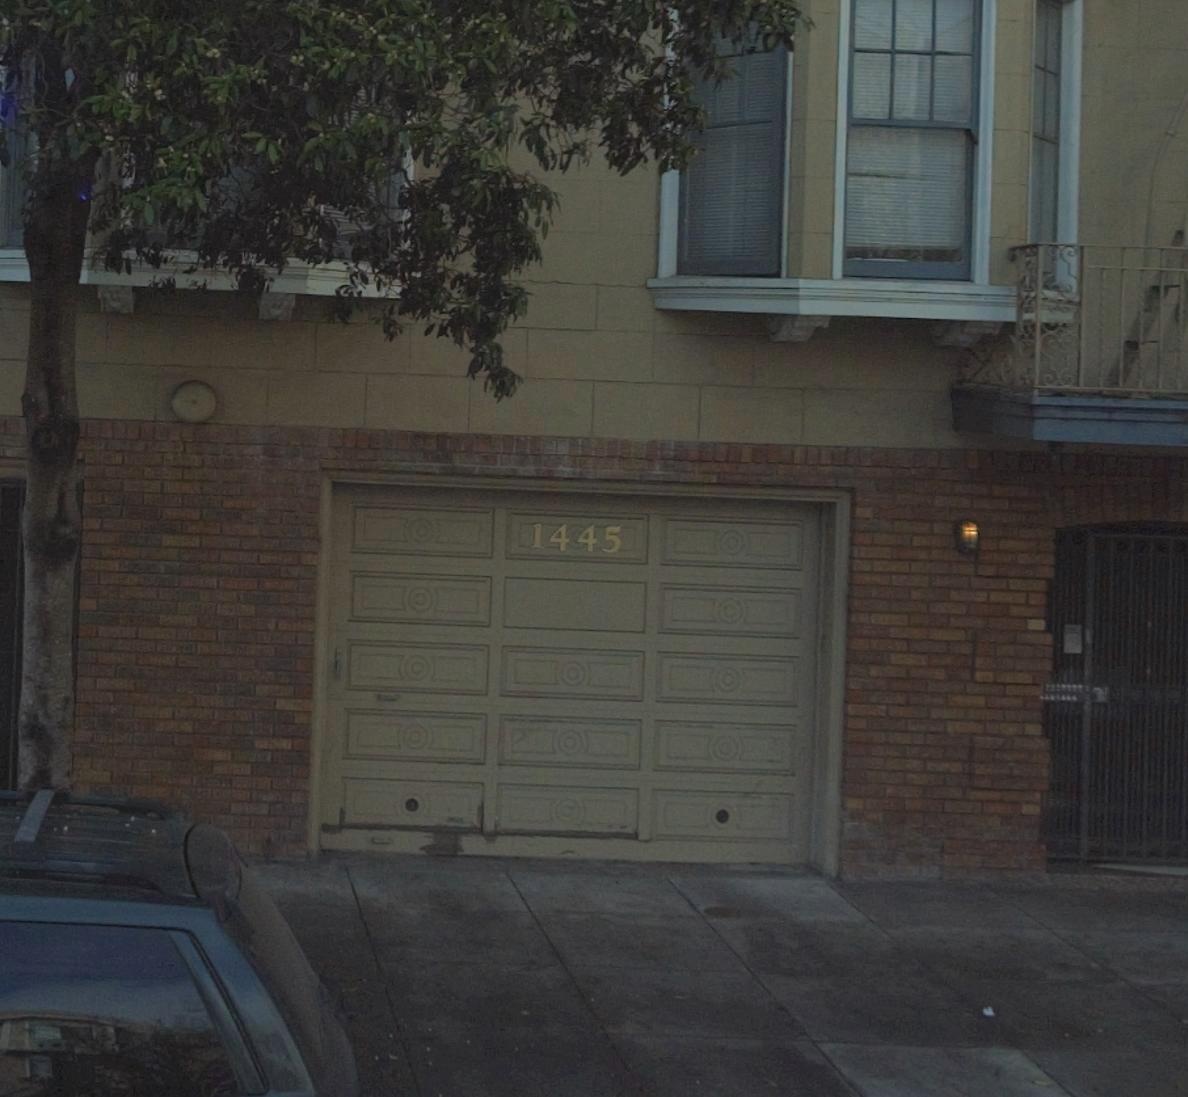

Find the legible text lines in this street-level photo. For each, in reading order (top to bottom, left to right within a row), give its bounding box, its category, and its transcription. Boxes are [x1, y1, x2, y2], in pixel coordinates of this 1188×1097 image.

[527, 521, 624, 556] StreetNumber: 1445